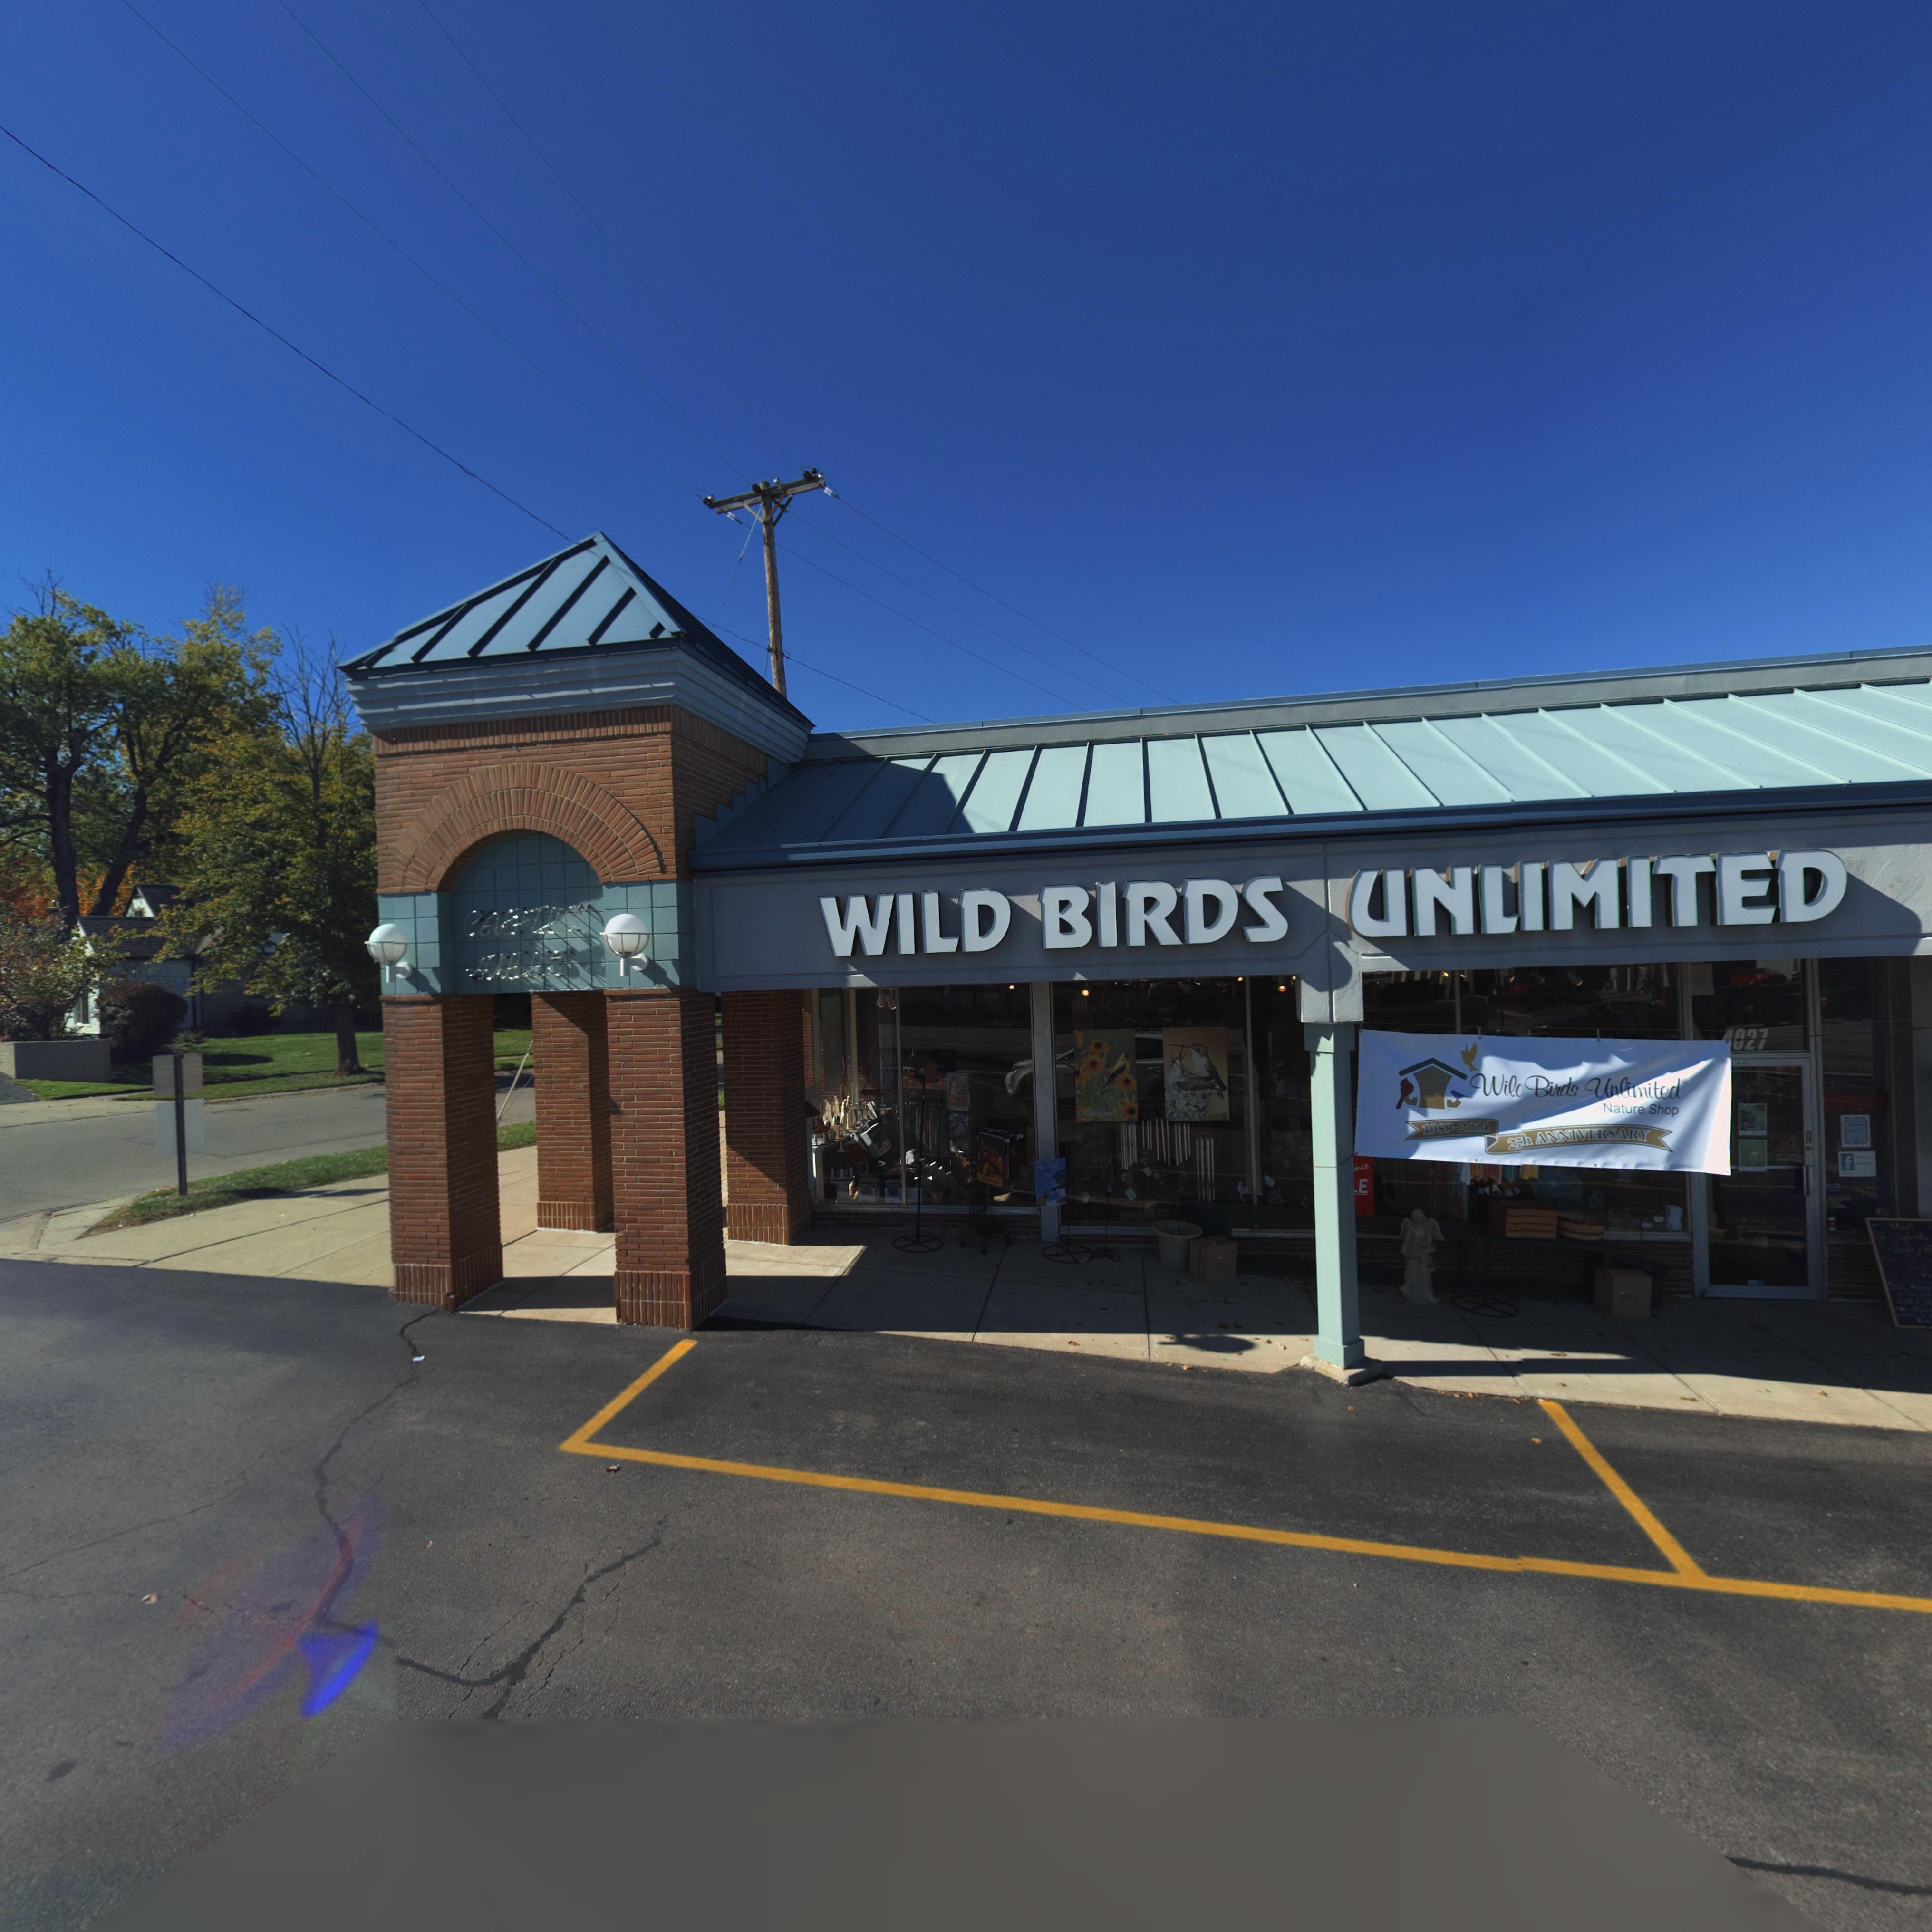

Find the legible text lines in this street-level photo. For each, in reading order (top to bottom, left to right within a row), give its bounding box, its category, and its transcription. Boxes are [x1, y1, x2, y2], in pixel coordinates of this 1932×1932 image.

[814, 845, 1852, 960] BusinessName: WILD BIRDS UNLIMITED
[1731, 1027, 1770, 1052] StreetNumber: 027
[1468, 1071, 1682, 1101] BusinessName: Wil* Birds Unlimited
[1602, 1101, 1680, 1120] BusinessName: Nature Shop
[1420, 1120, 1490, 1136] None: 1989-2014
[1505, 1127, 1653, 1151] None: 2*h ANNIVERSARY
[1358, 1178, 1369, 1194] None: E